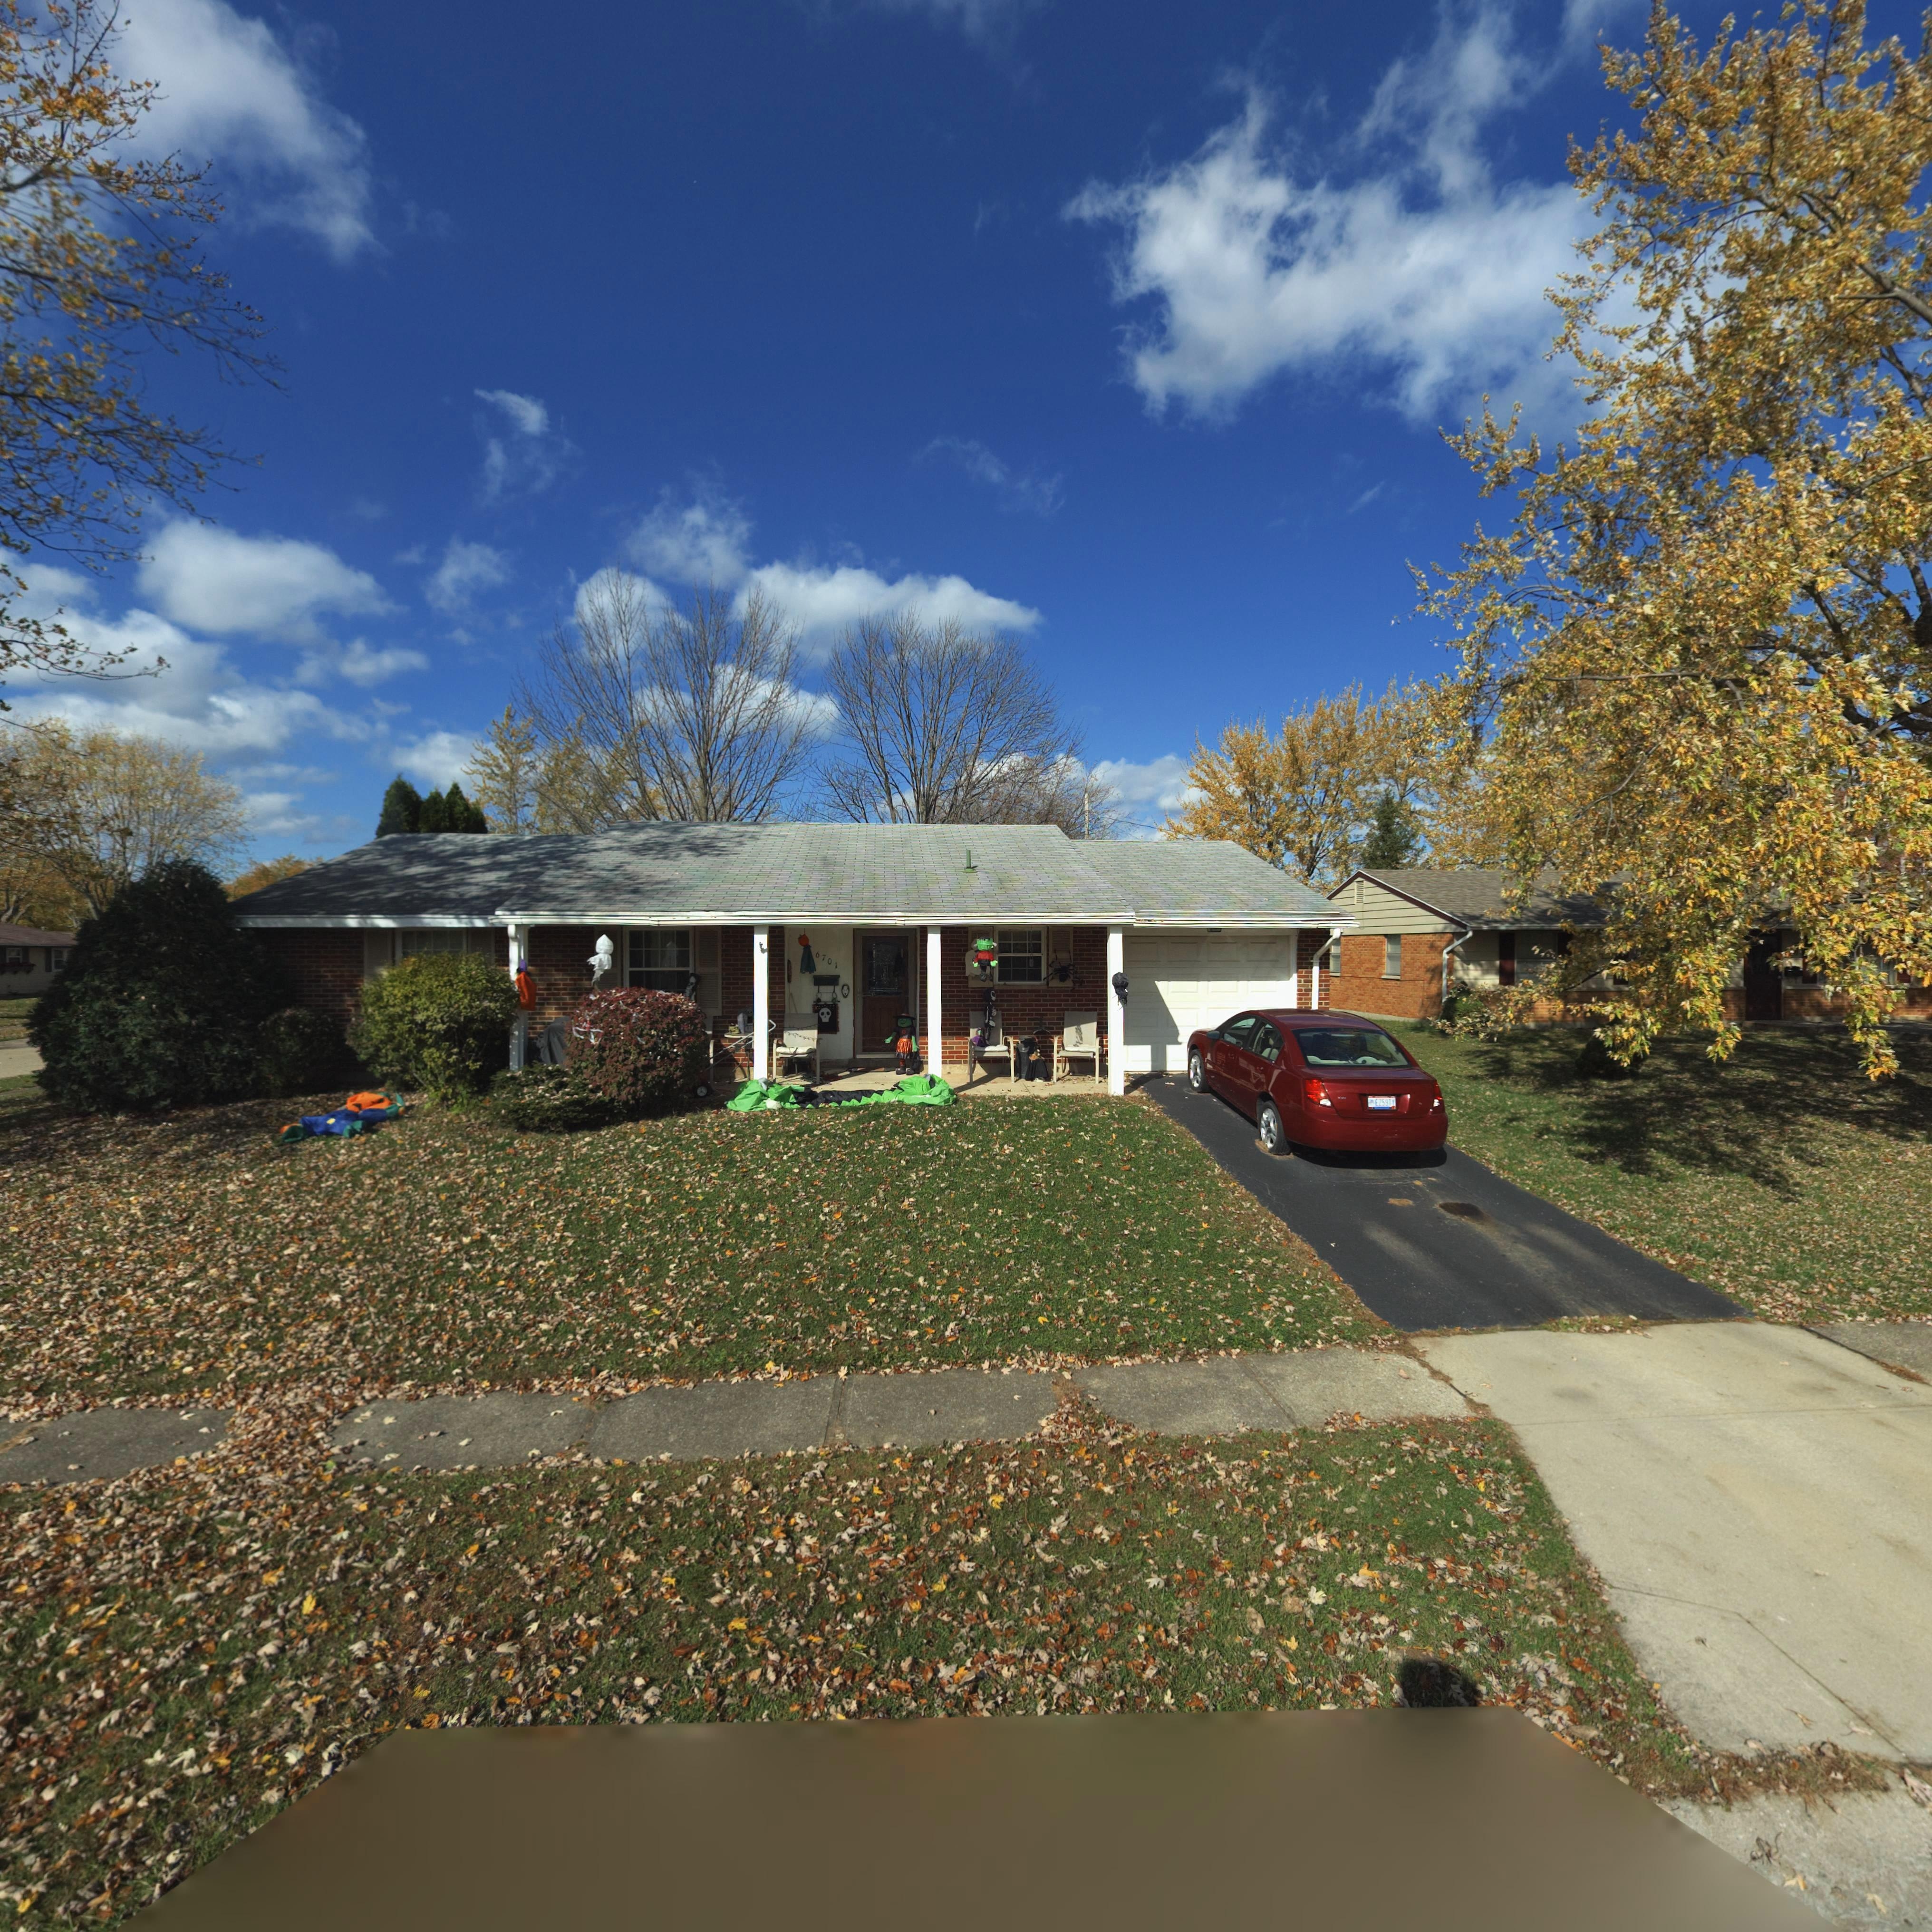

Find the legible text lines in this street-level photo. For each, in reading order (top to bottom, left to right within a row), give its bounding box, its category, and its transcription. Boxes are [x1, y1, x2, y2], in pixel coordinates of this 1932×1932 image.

[815, 949, 838, 969] StreetNumber: 6701